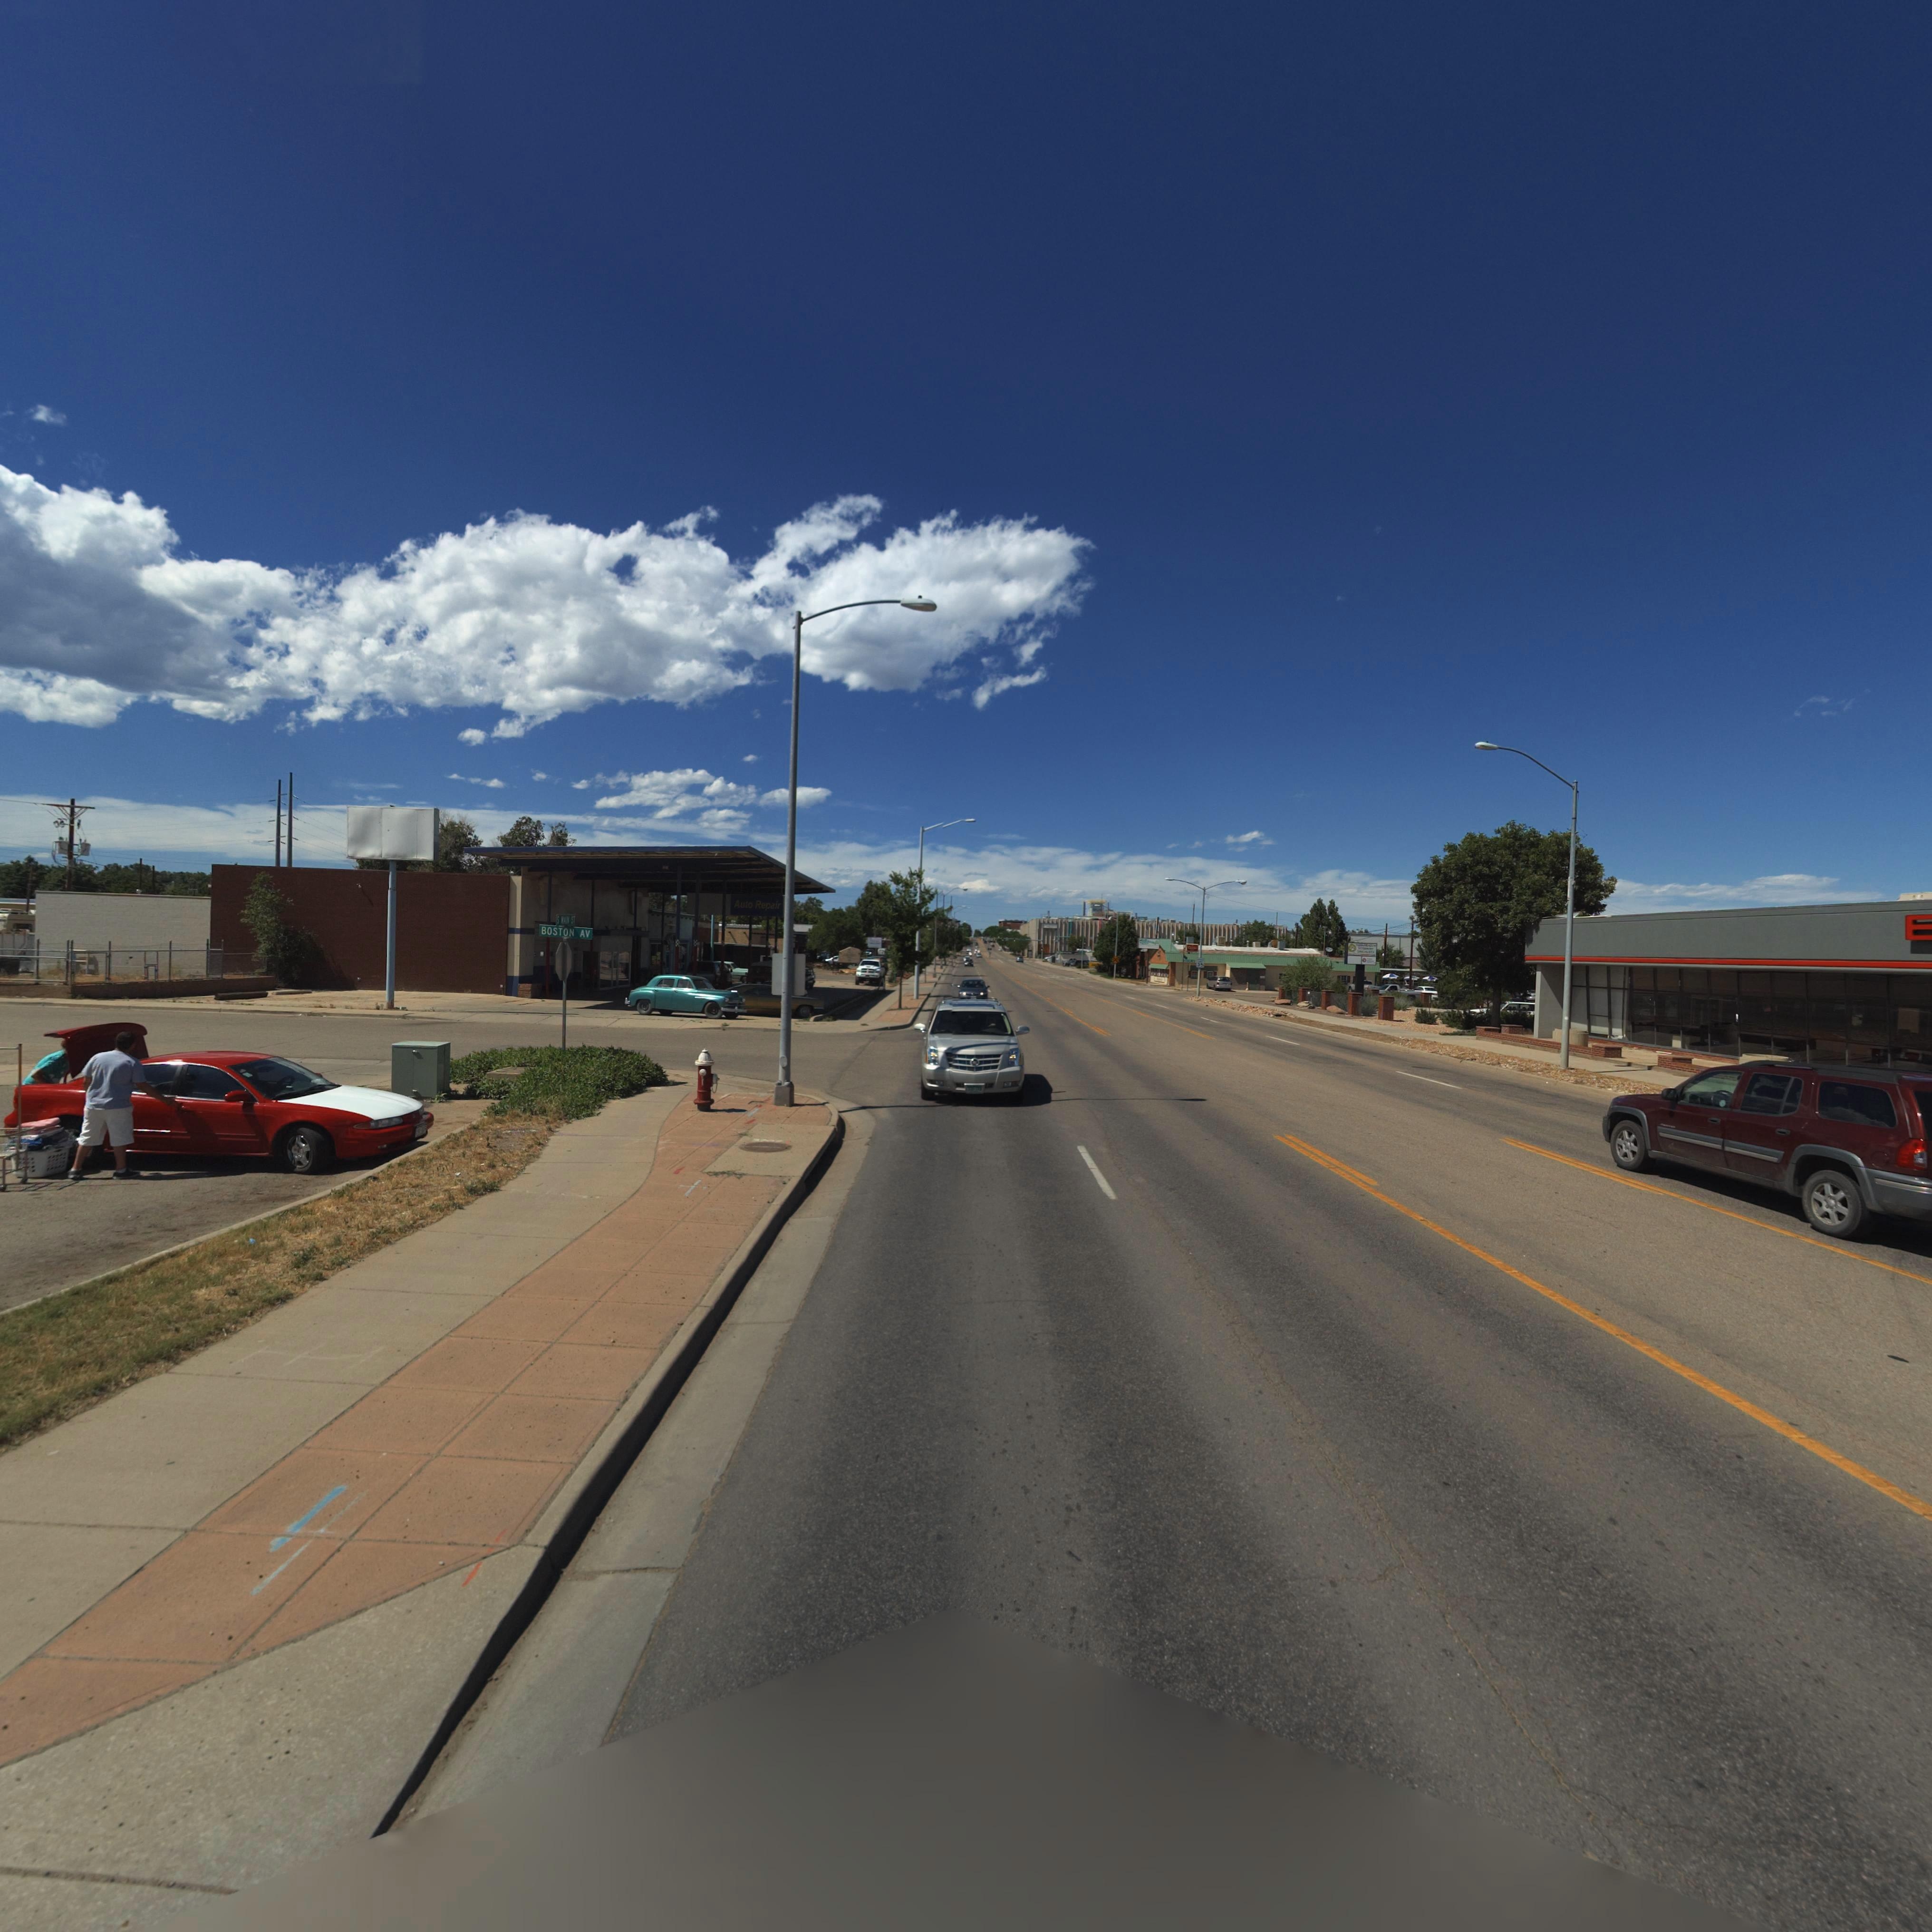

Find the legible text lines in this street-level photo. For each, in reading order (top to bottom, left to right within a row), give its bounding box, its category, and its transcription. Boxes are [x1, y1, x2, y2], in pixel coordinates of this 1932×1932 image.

[557, 915, 575, 924] StreetName: S MAIN ST
[541, 926, 591, 938] StreetName: BOSTON AV
[1356, 949, 1374, 954] BusinessName: S*****LISTS